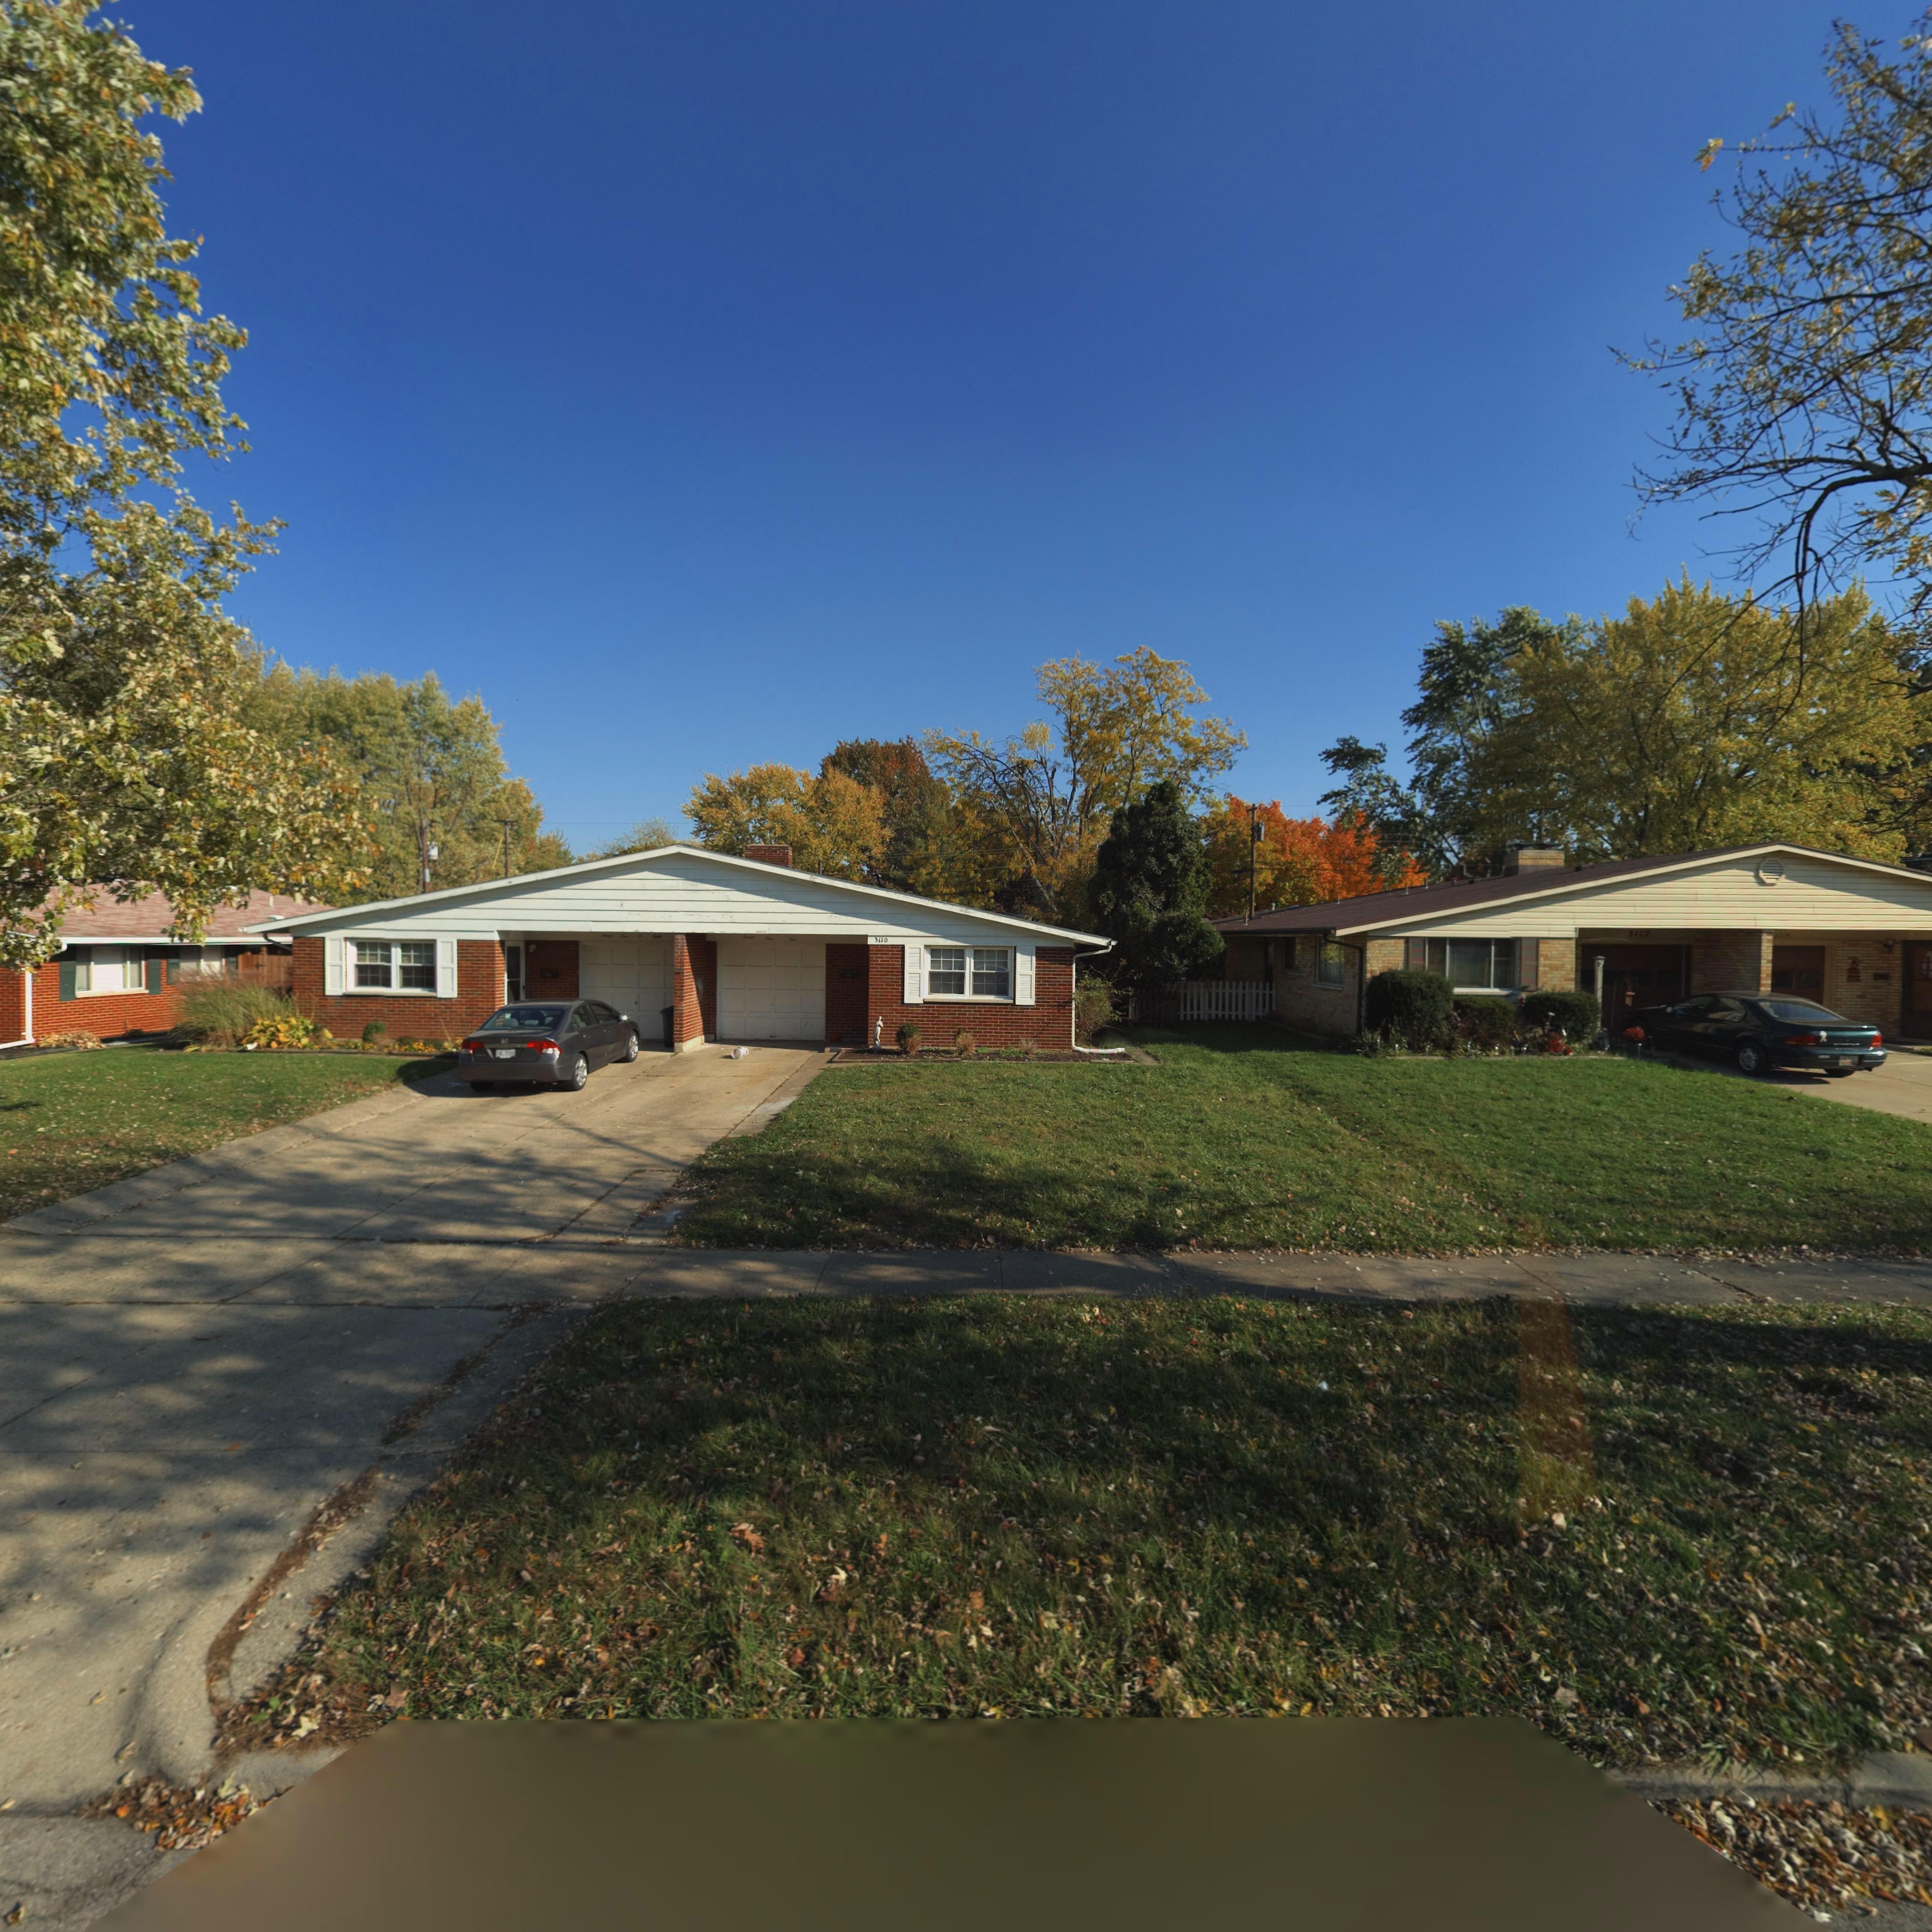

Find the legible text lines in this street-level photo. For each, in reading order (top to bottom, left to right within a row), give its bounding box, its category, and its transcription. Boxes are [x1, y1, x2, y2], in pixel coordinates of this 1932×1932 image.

[1627, 929, 1650, 938] StreetNumber: 3112
[1774, 931, 1790, 938] StreetNumber: 3114
[873, 936, 888, 943] StreetNumber: 3110